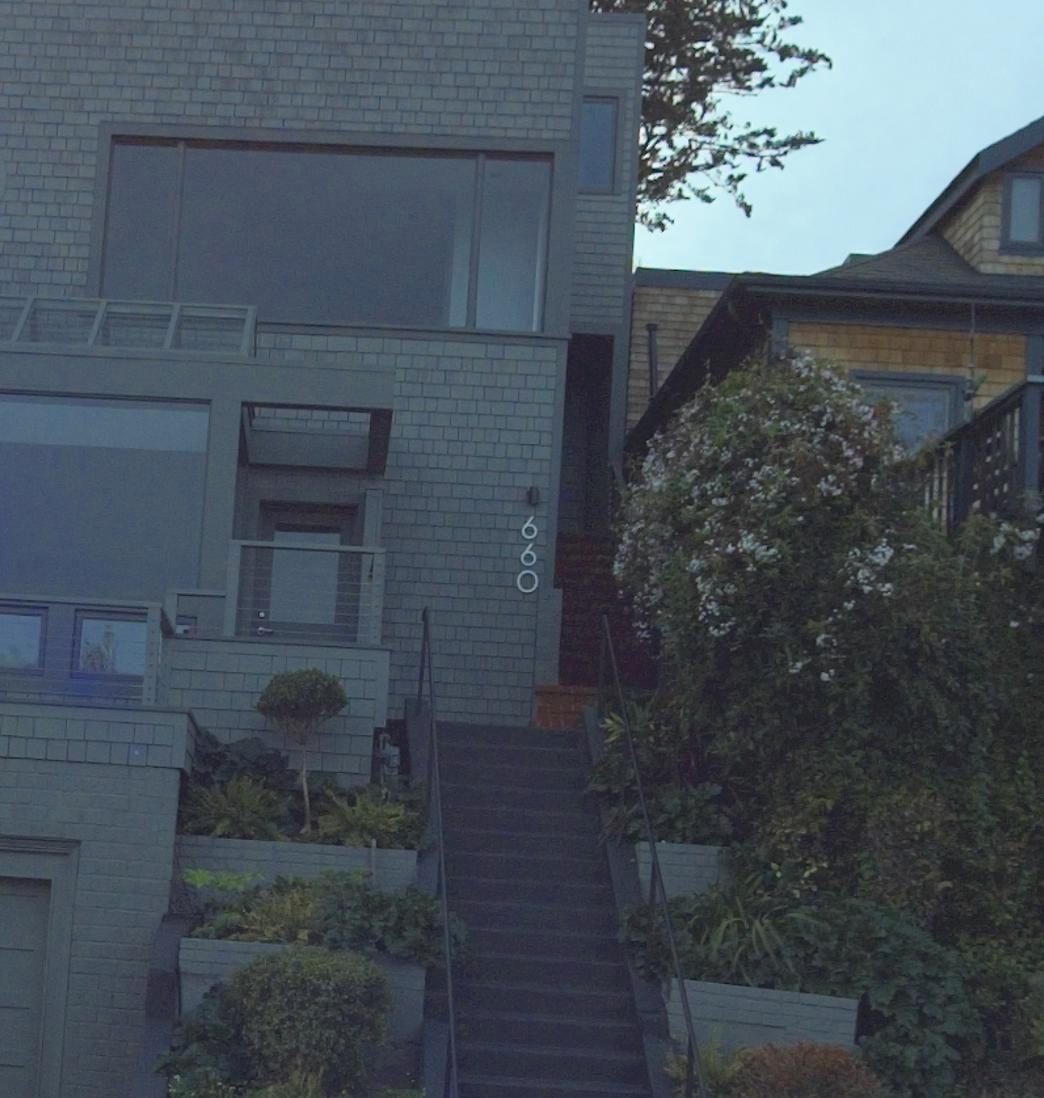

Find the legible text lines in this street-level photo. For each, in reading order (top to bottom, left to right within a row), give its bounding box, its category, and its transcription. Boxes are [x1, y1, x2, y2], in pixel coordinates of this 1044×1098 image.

[515, 515, 540, 595] StreetNumber: 660